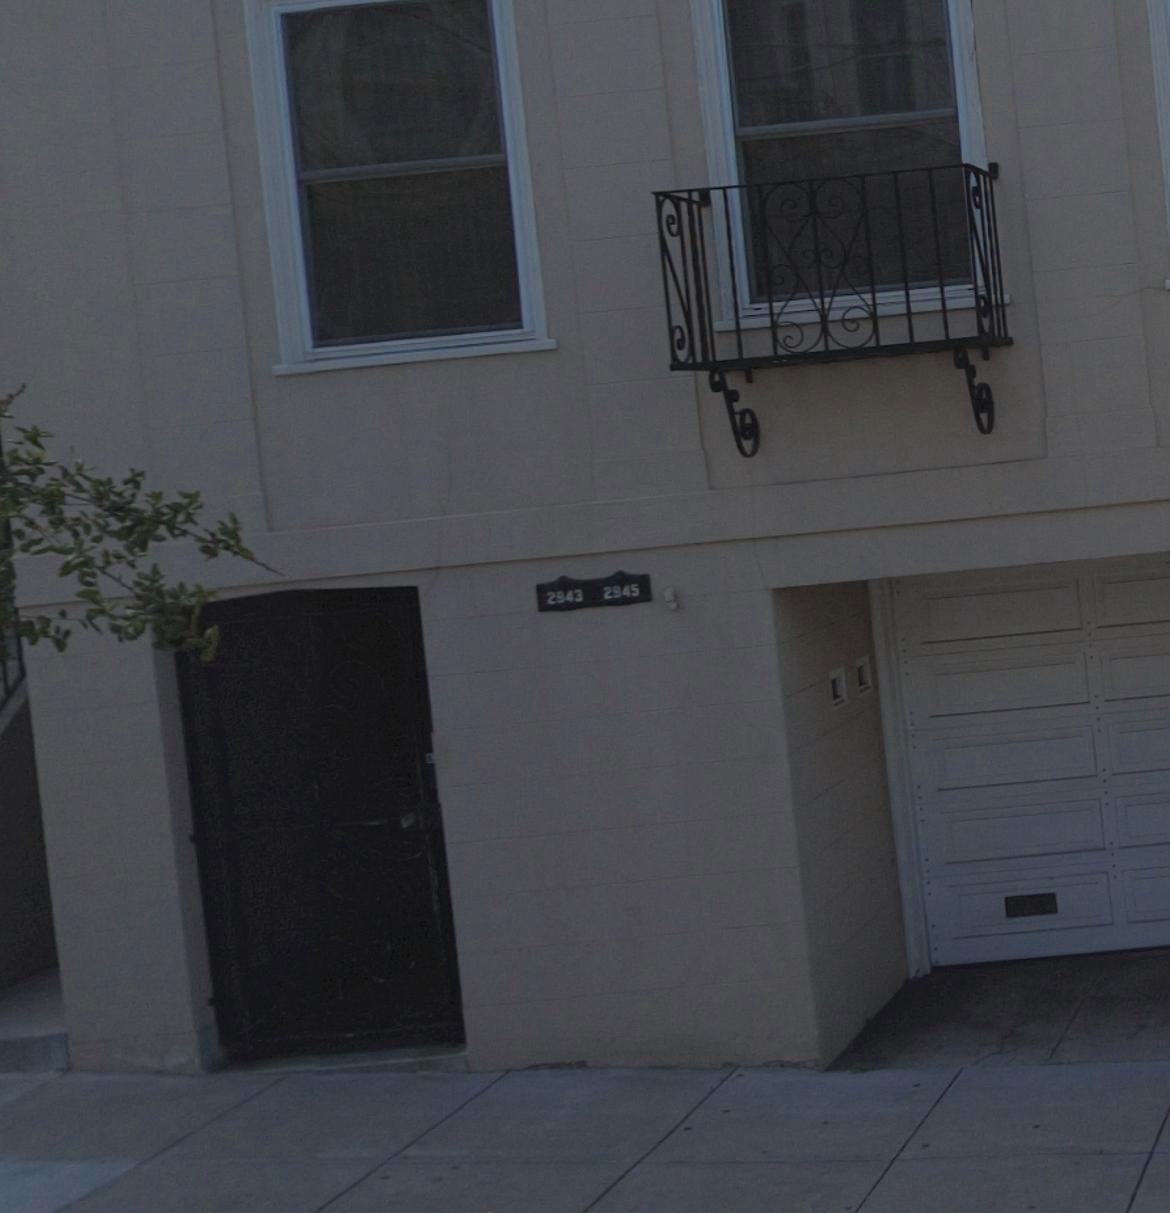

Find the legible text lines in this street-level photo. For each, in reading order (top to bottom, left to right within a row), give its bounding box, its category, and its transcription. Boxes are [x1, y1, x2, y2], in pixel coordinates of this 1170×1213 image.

[545, 587, 584, 606] StreetNumber: 2943
[601, 582, 641, 600] StreetNumber: 2945